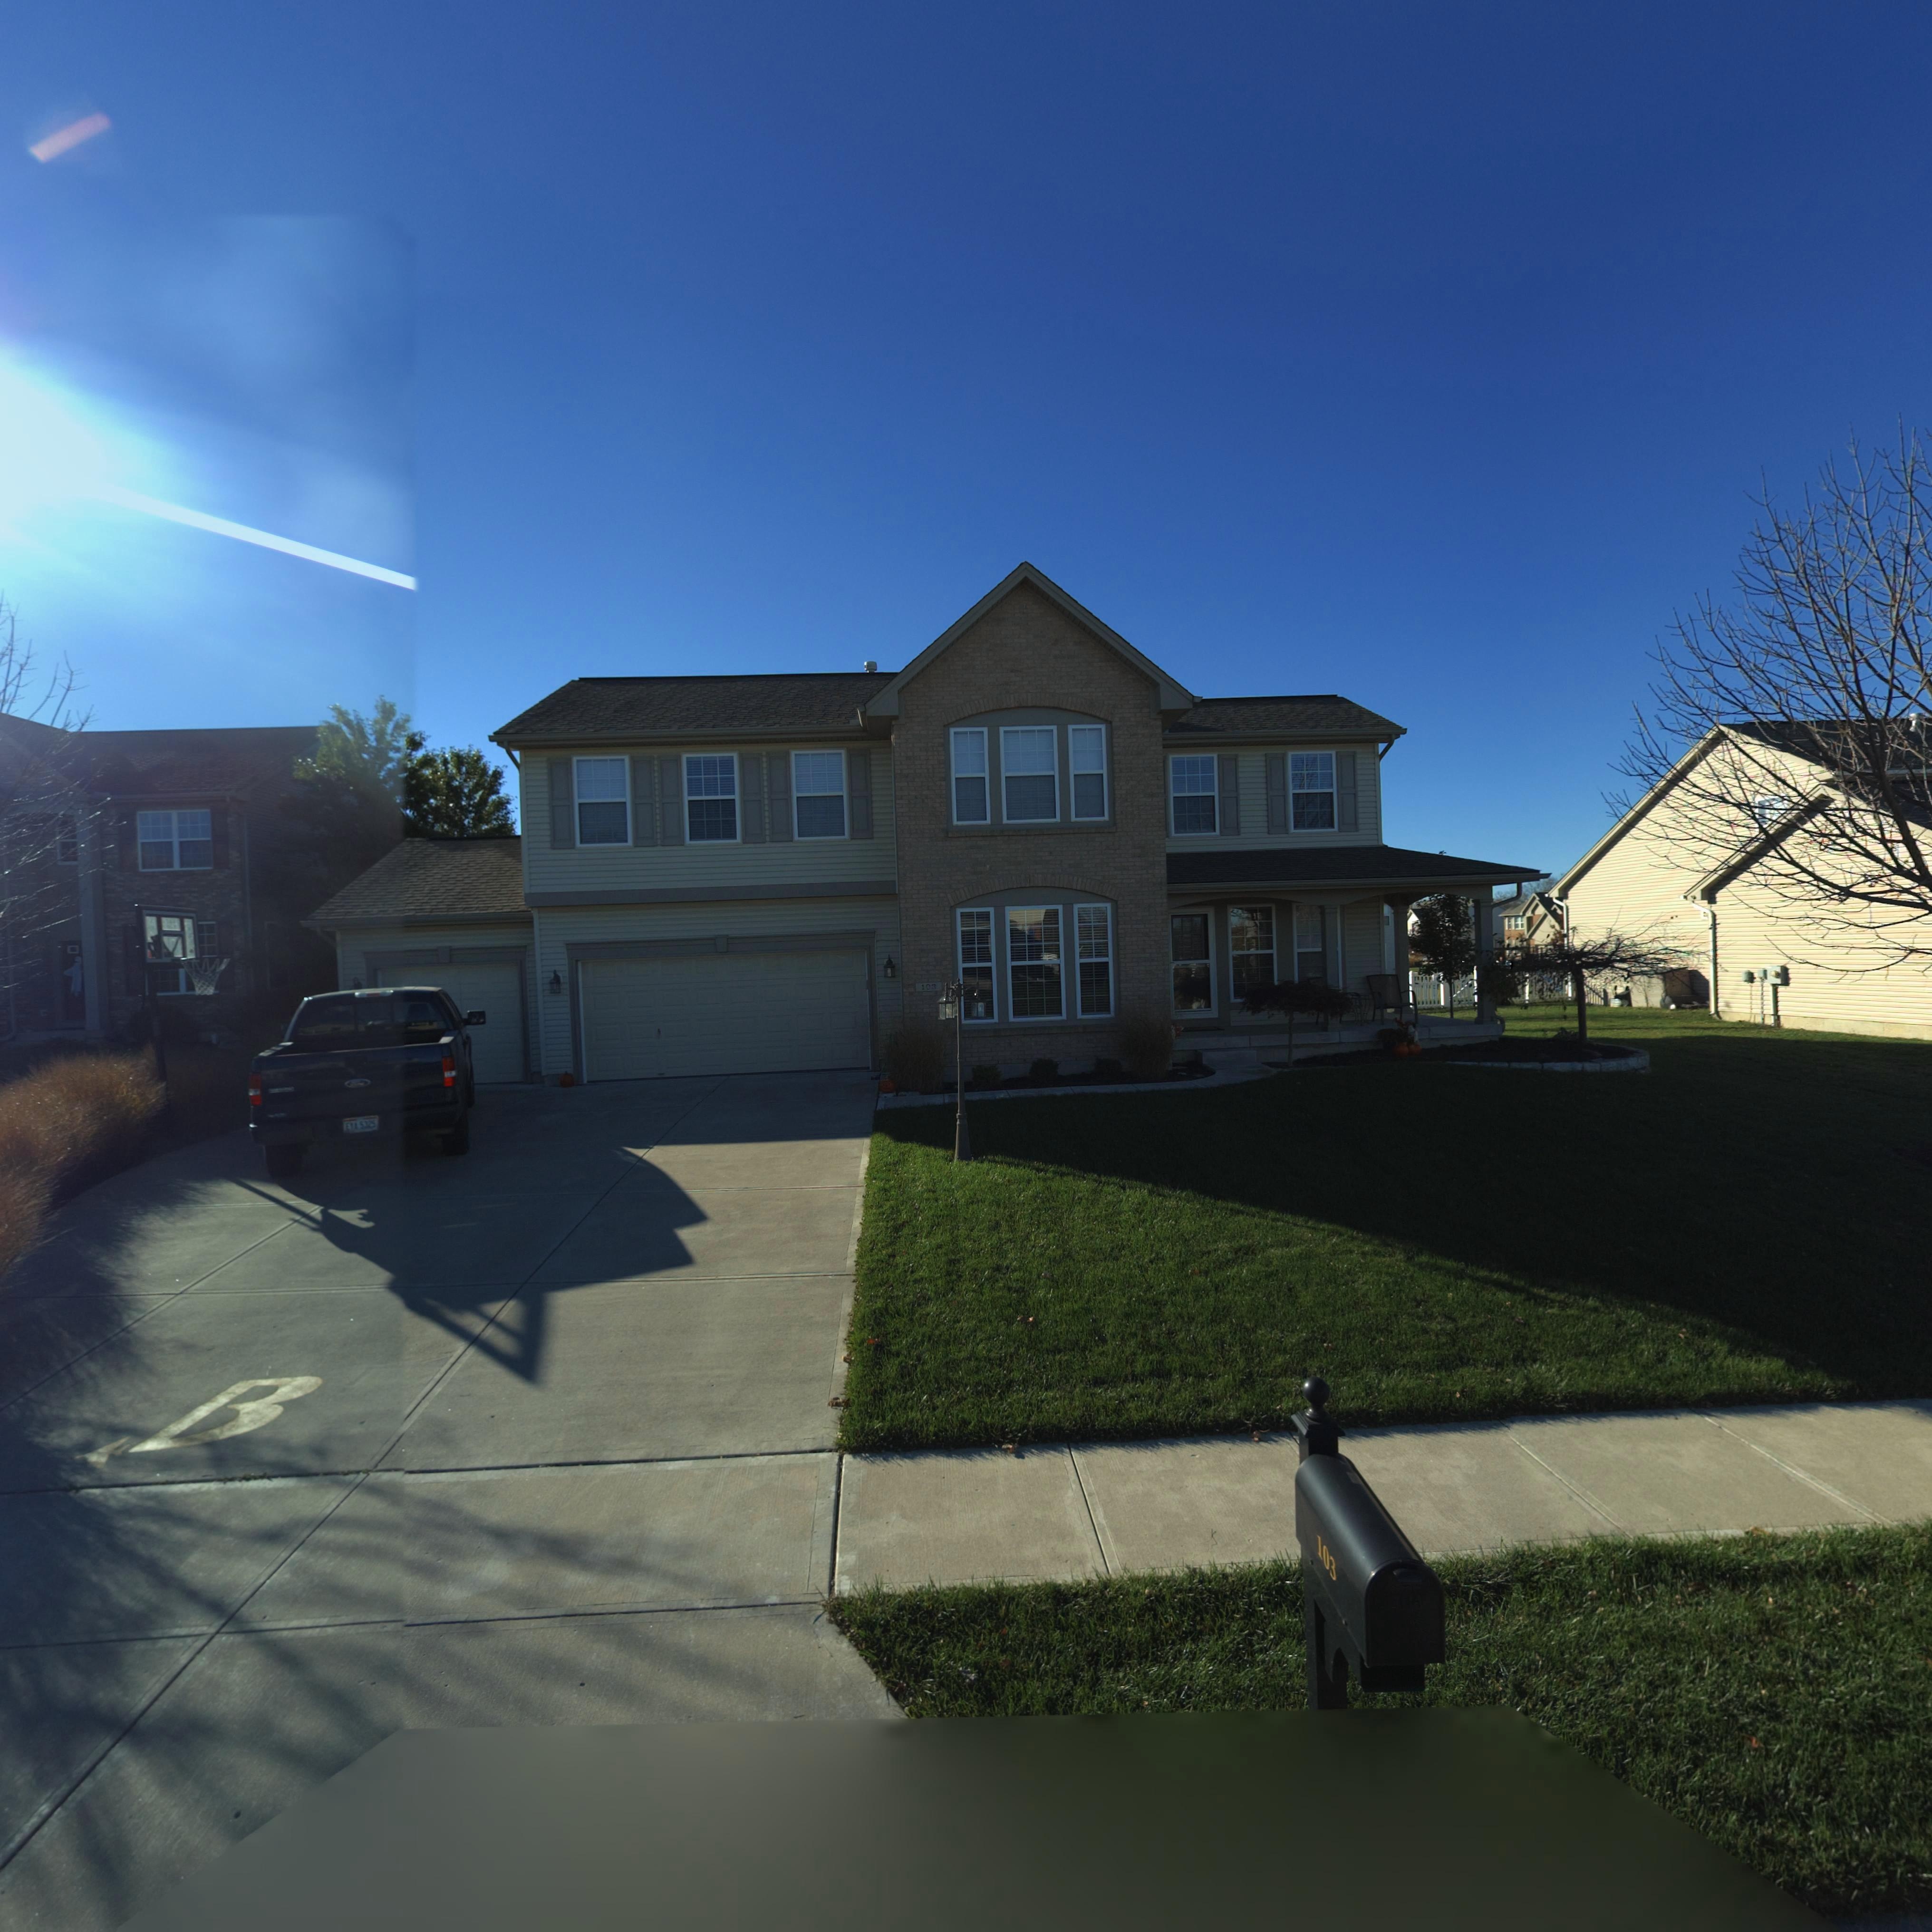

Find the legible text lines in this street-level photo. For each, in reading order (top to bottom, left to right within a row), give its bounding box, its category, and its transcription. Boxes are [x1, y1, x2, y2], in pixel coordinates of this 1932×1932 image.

[920, 983, 937, 991] StreetNumber: 103
[344, 1118, 377, 1132] None: *** 5*25
[1315, 1534, 1338, 1583] StreetNumber: 103